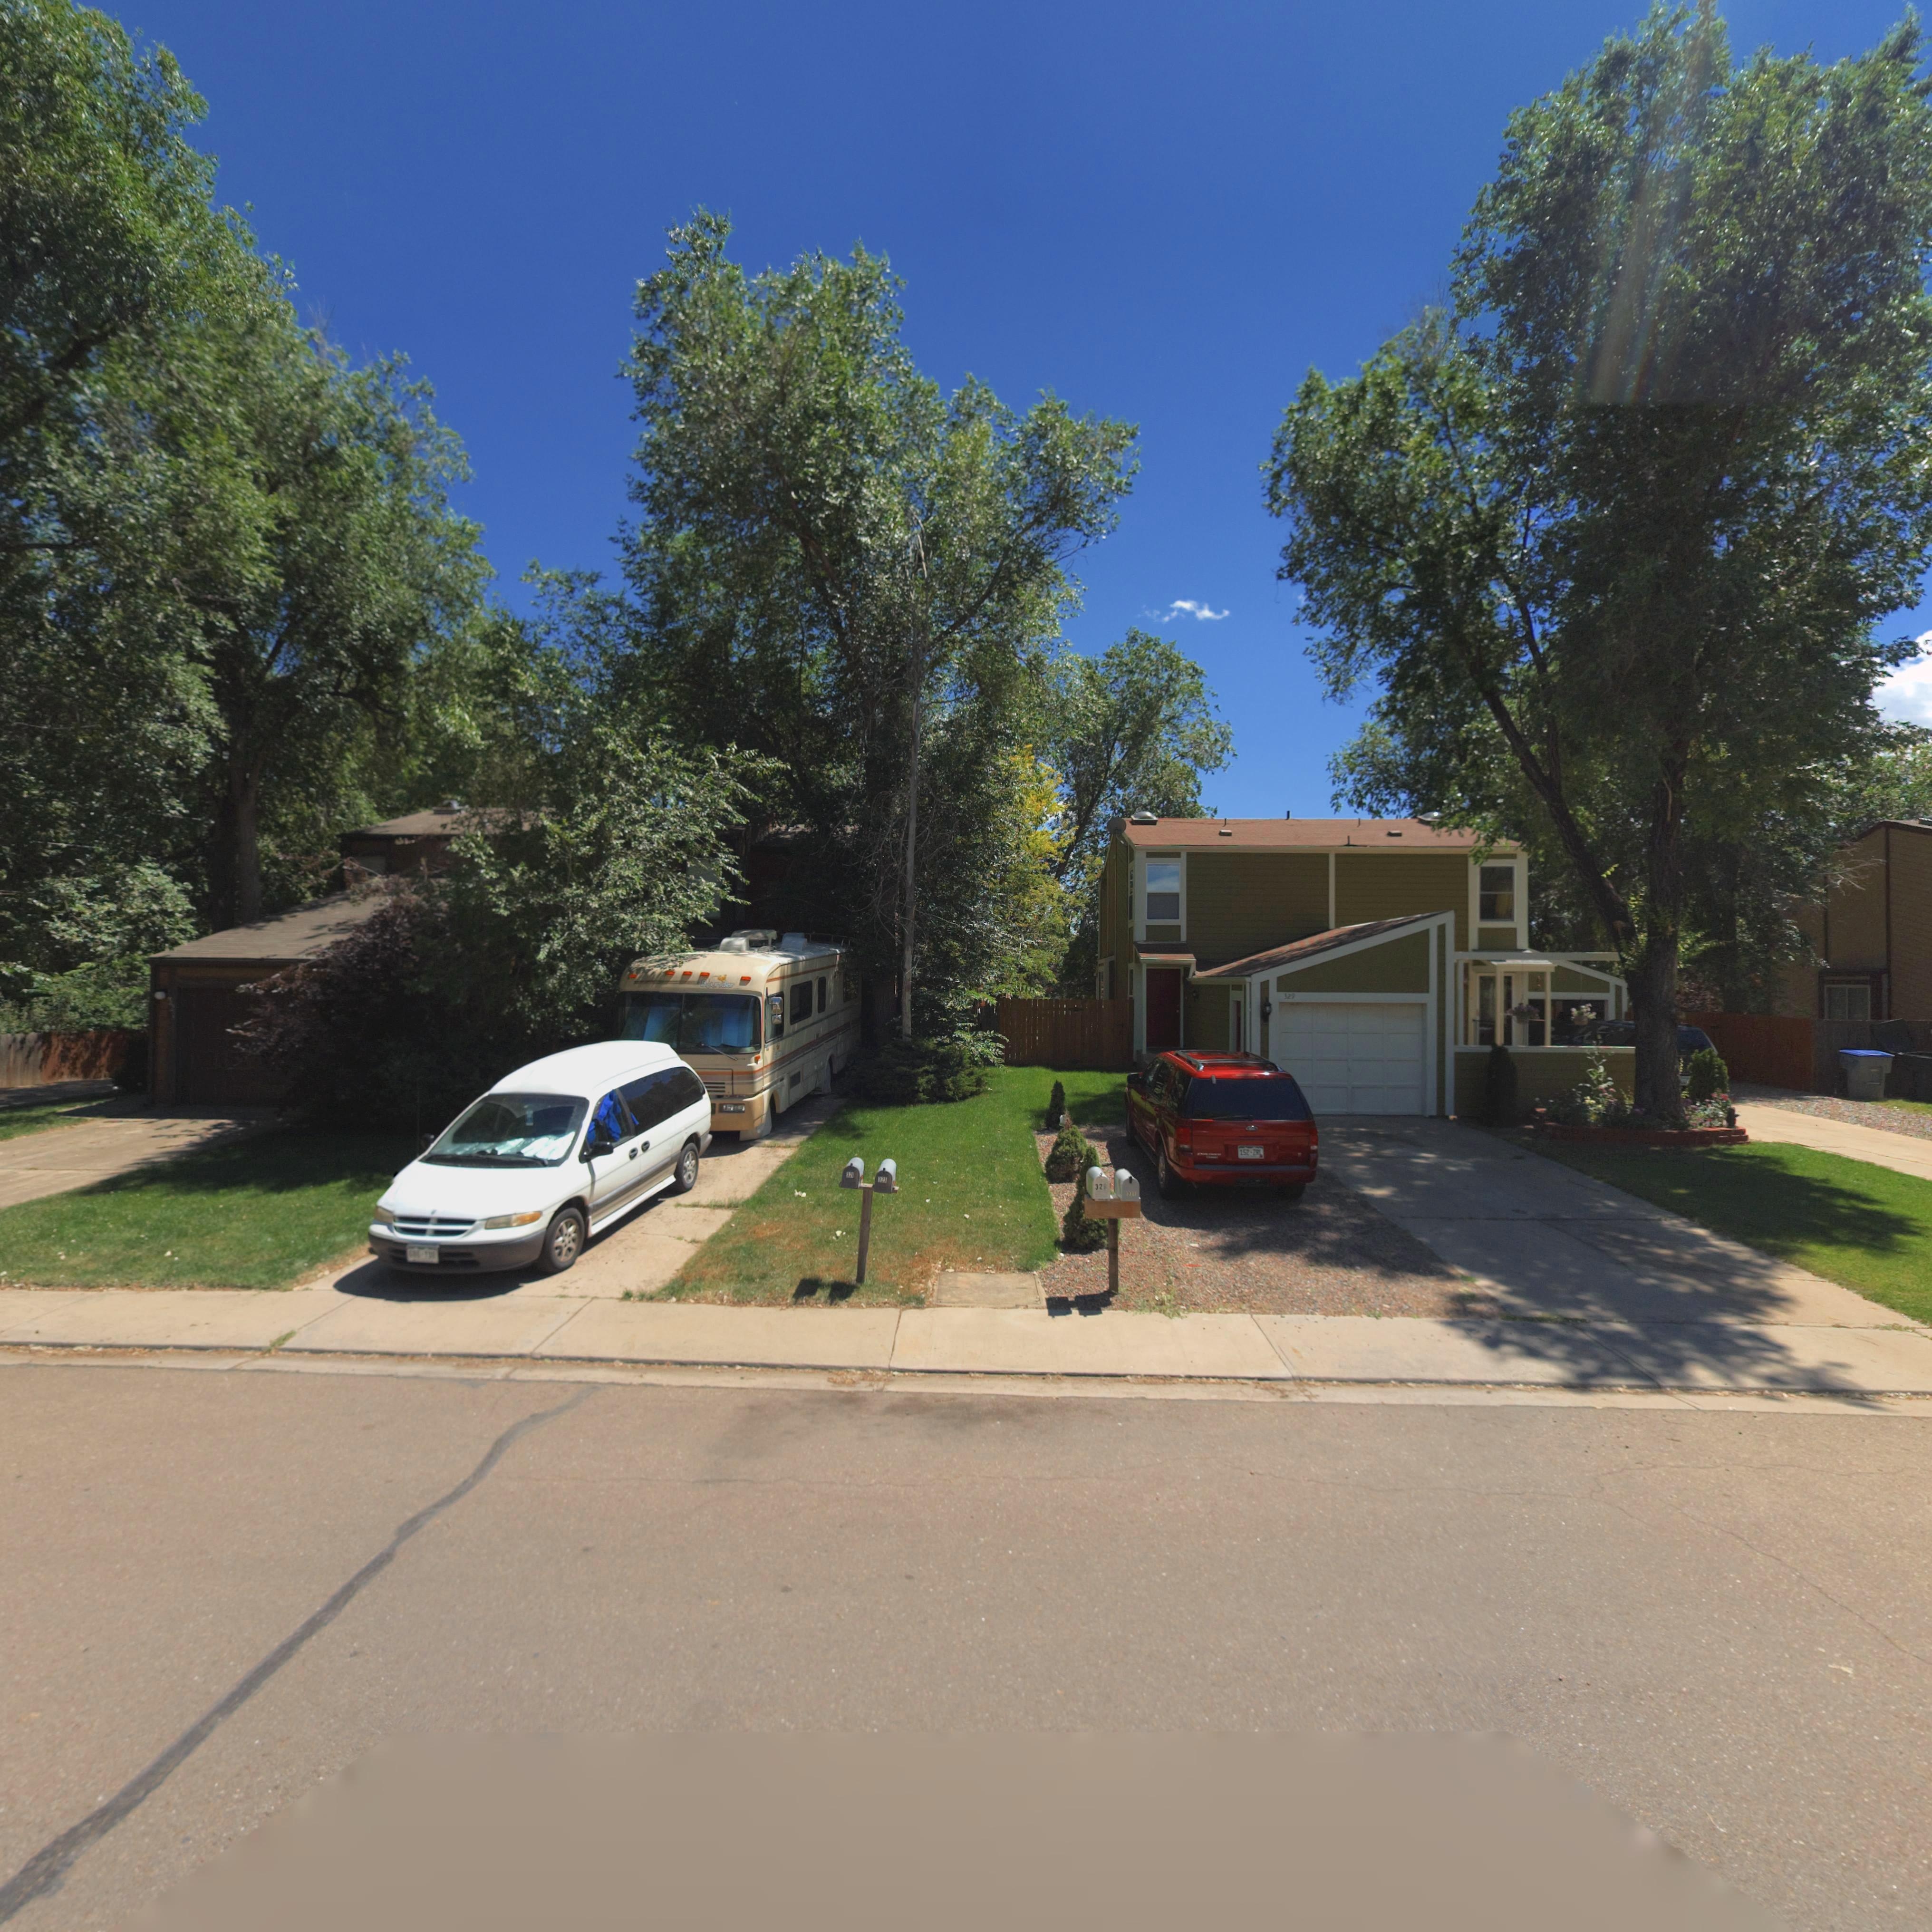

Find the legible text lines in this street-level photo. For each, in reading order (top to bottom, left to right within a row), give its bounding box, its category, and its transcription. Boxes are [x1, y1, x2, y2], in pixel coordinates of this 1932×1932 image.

[1284, 993, 1295, 999] StreetNumber: 329
[166, 996, 176, 1019] StreetNumber: 321
[846, 1171, 854, 1178] StreetNumber: *21
[878, 1176, 887, 1182] StreetNumber: *23
[1094, 1183, 1106, 1190] StreetNumber: 32*
[1127, 1191, 1136, 1196] StreetNumber: 3**